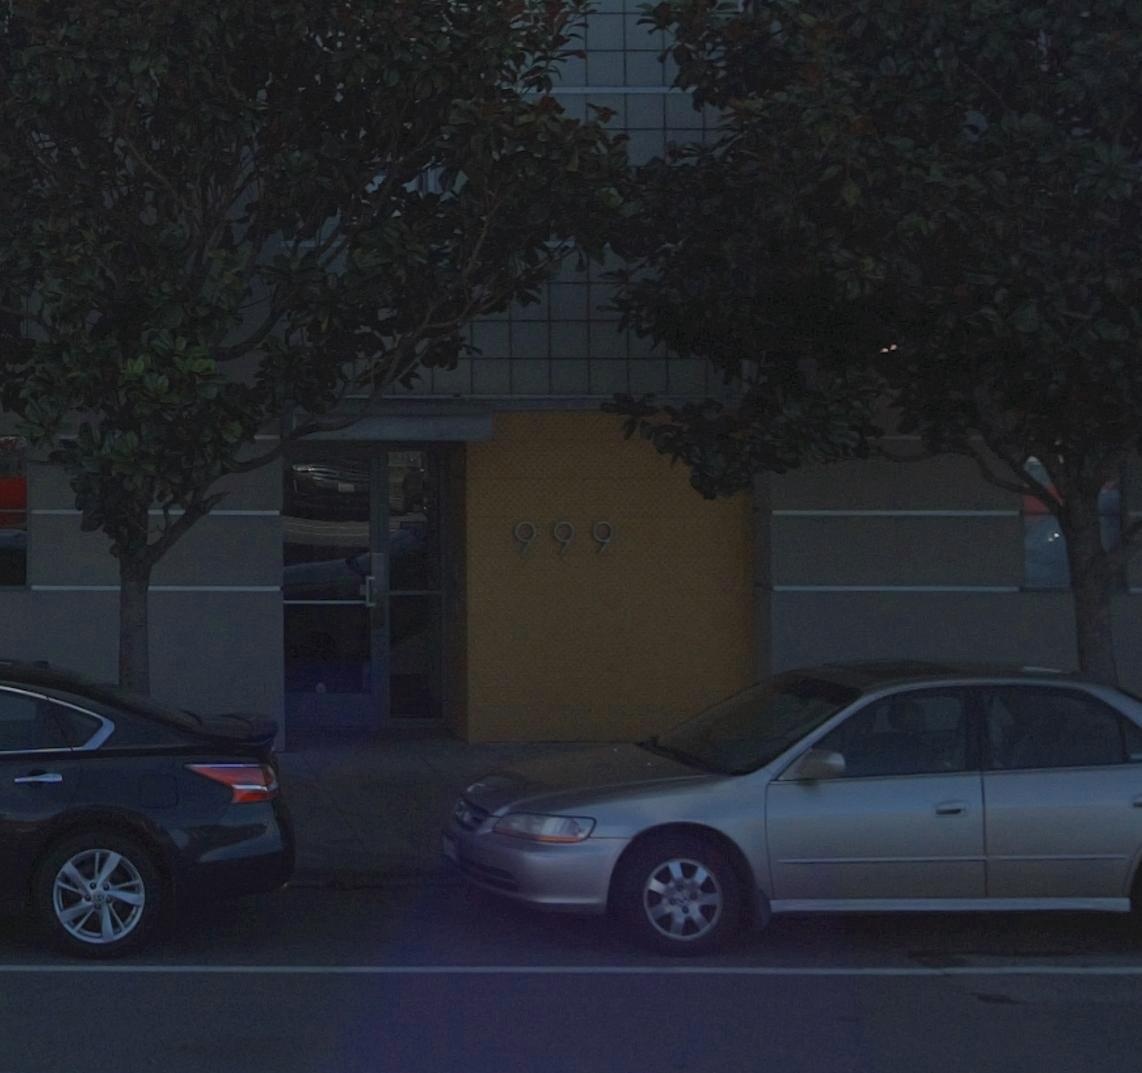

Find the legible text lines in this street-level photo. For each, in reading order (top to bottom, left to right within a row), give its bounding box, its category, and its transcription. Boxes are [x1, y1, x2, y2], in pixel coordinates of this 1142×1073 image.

[512, 518, 616, 556] StreetNumber: 999